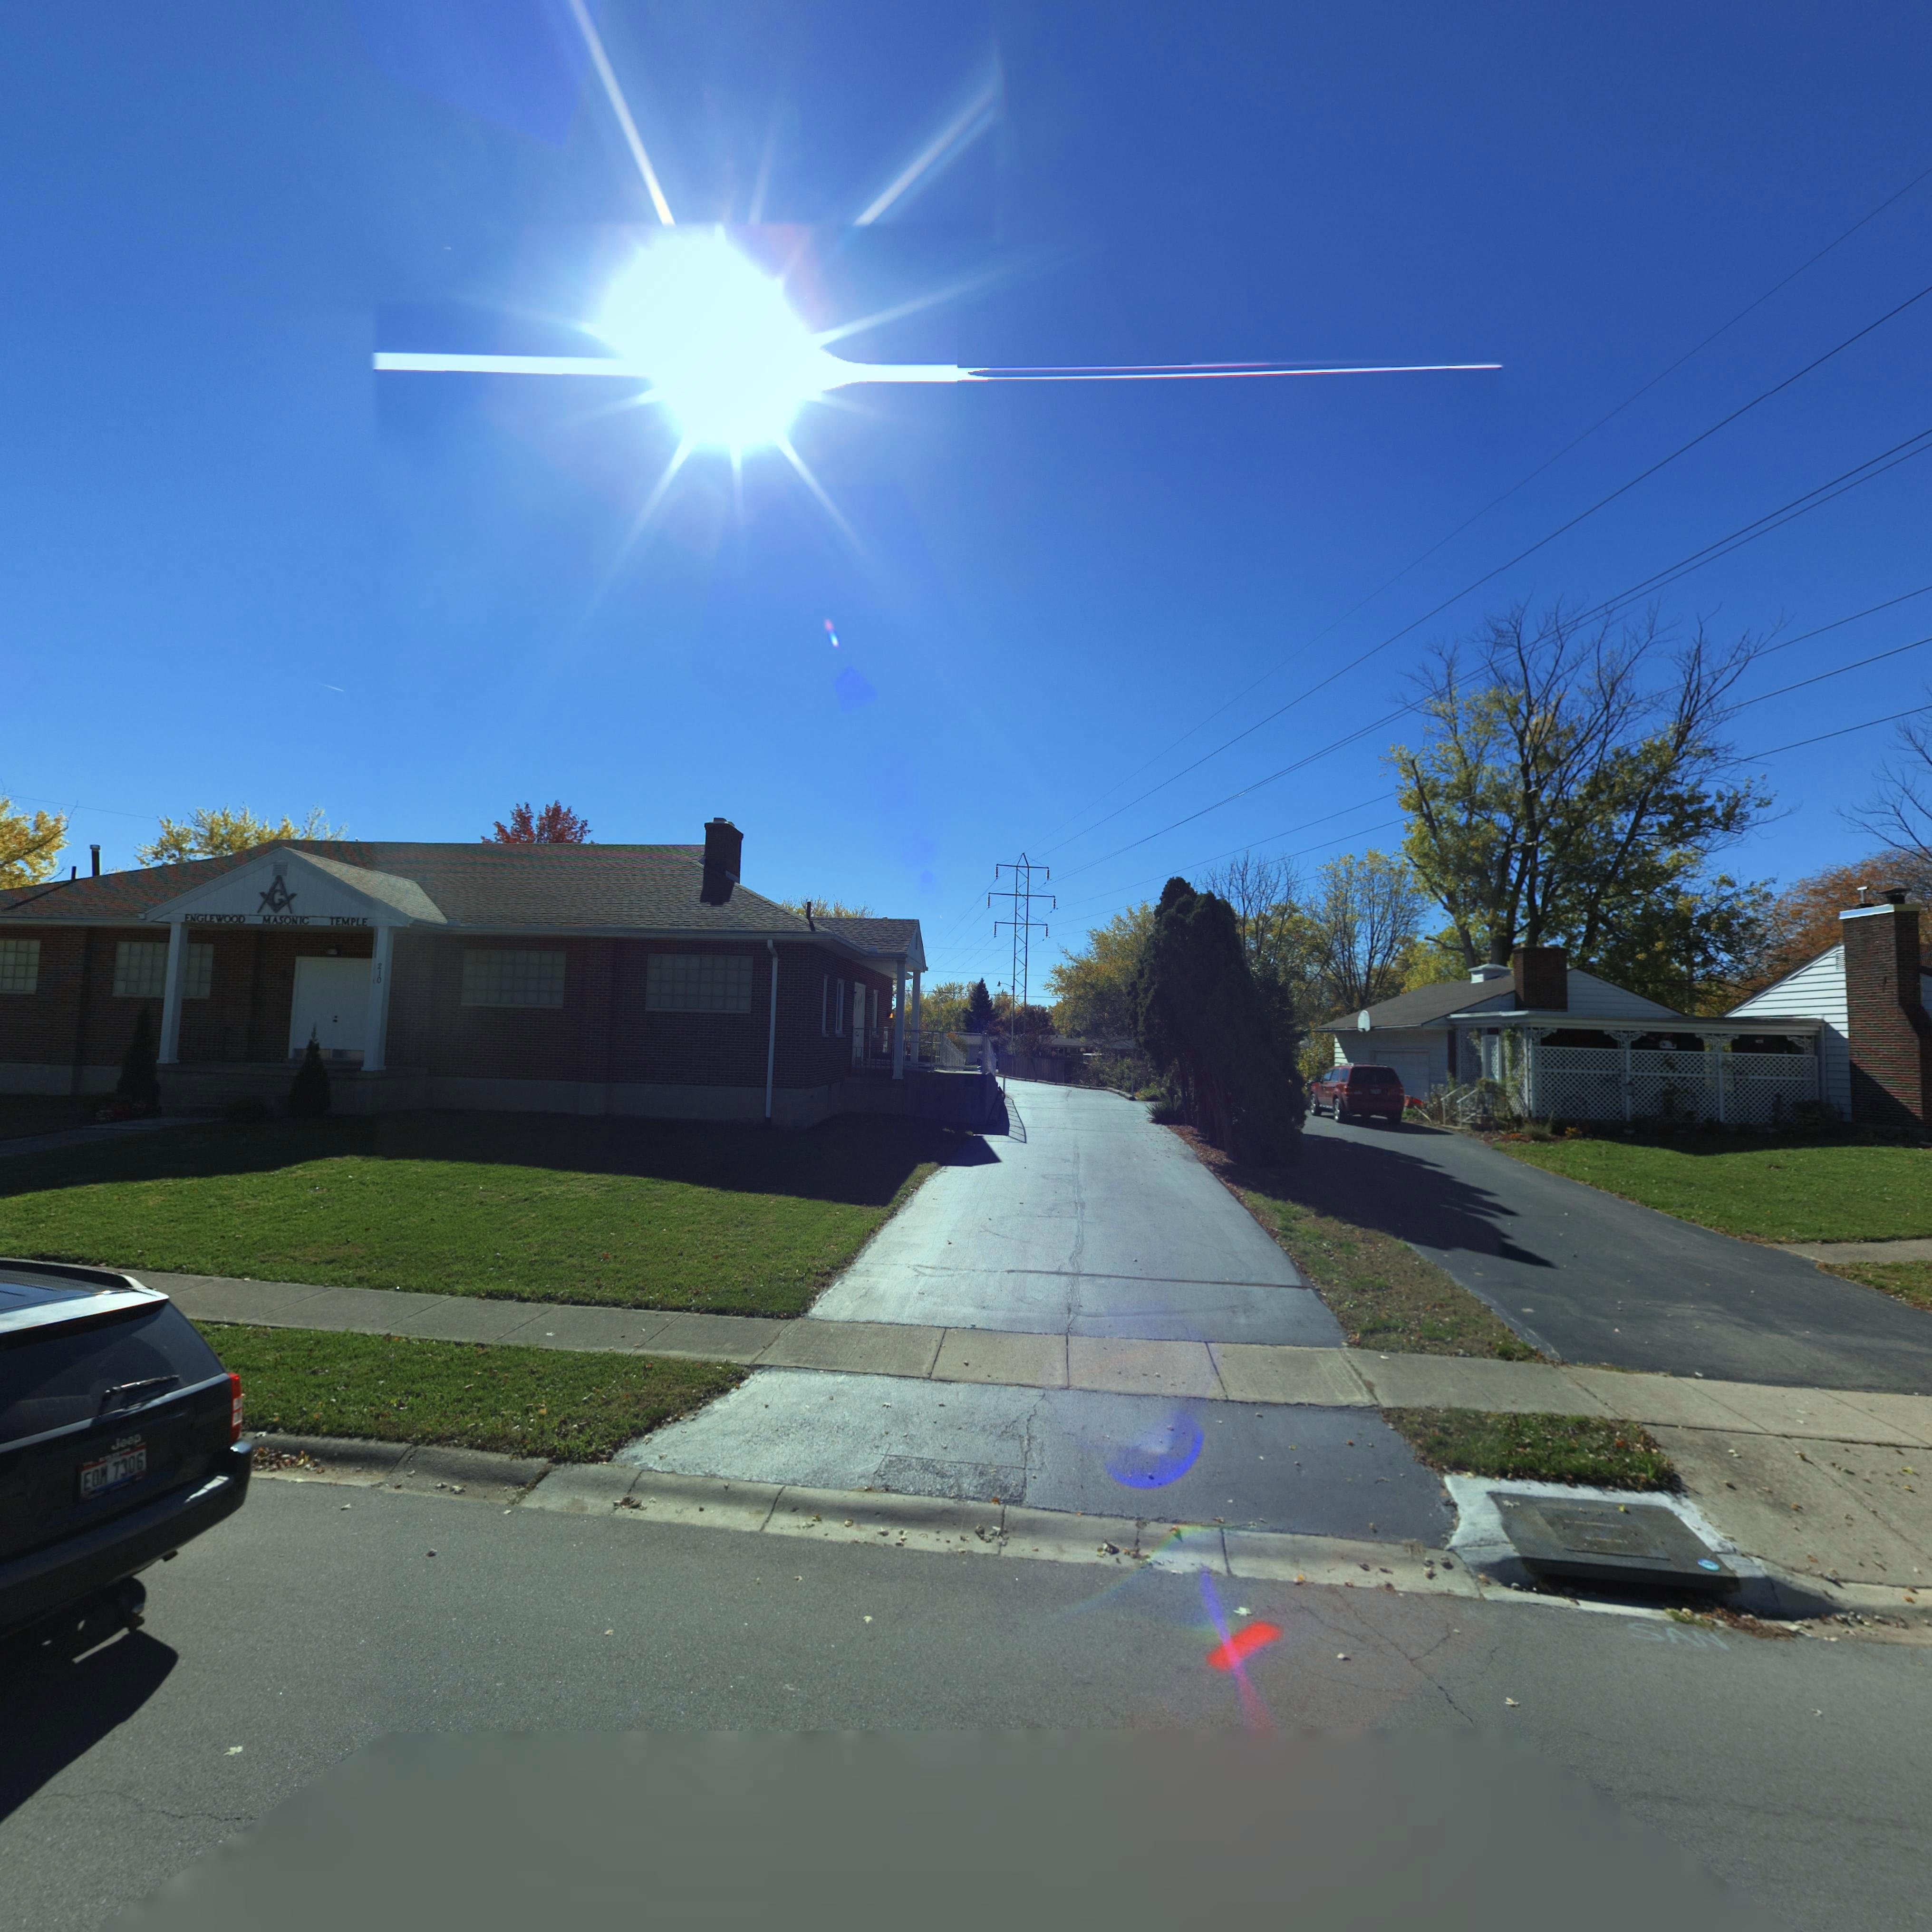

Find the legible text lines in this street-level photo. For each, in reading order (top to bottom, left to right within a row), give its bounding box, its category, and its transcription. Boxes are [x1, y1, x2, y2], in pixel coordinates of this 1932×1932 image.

[184, 913, 369, 927] BusinessName: ENGLEWOOD MASONCI TEMPLE
[376, 962, 382, 984] StreetNumber: 210
[109, 1432, 142, 1451] None: Jeep
[81, 1449, 145, 1495] None: EOM*7306